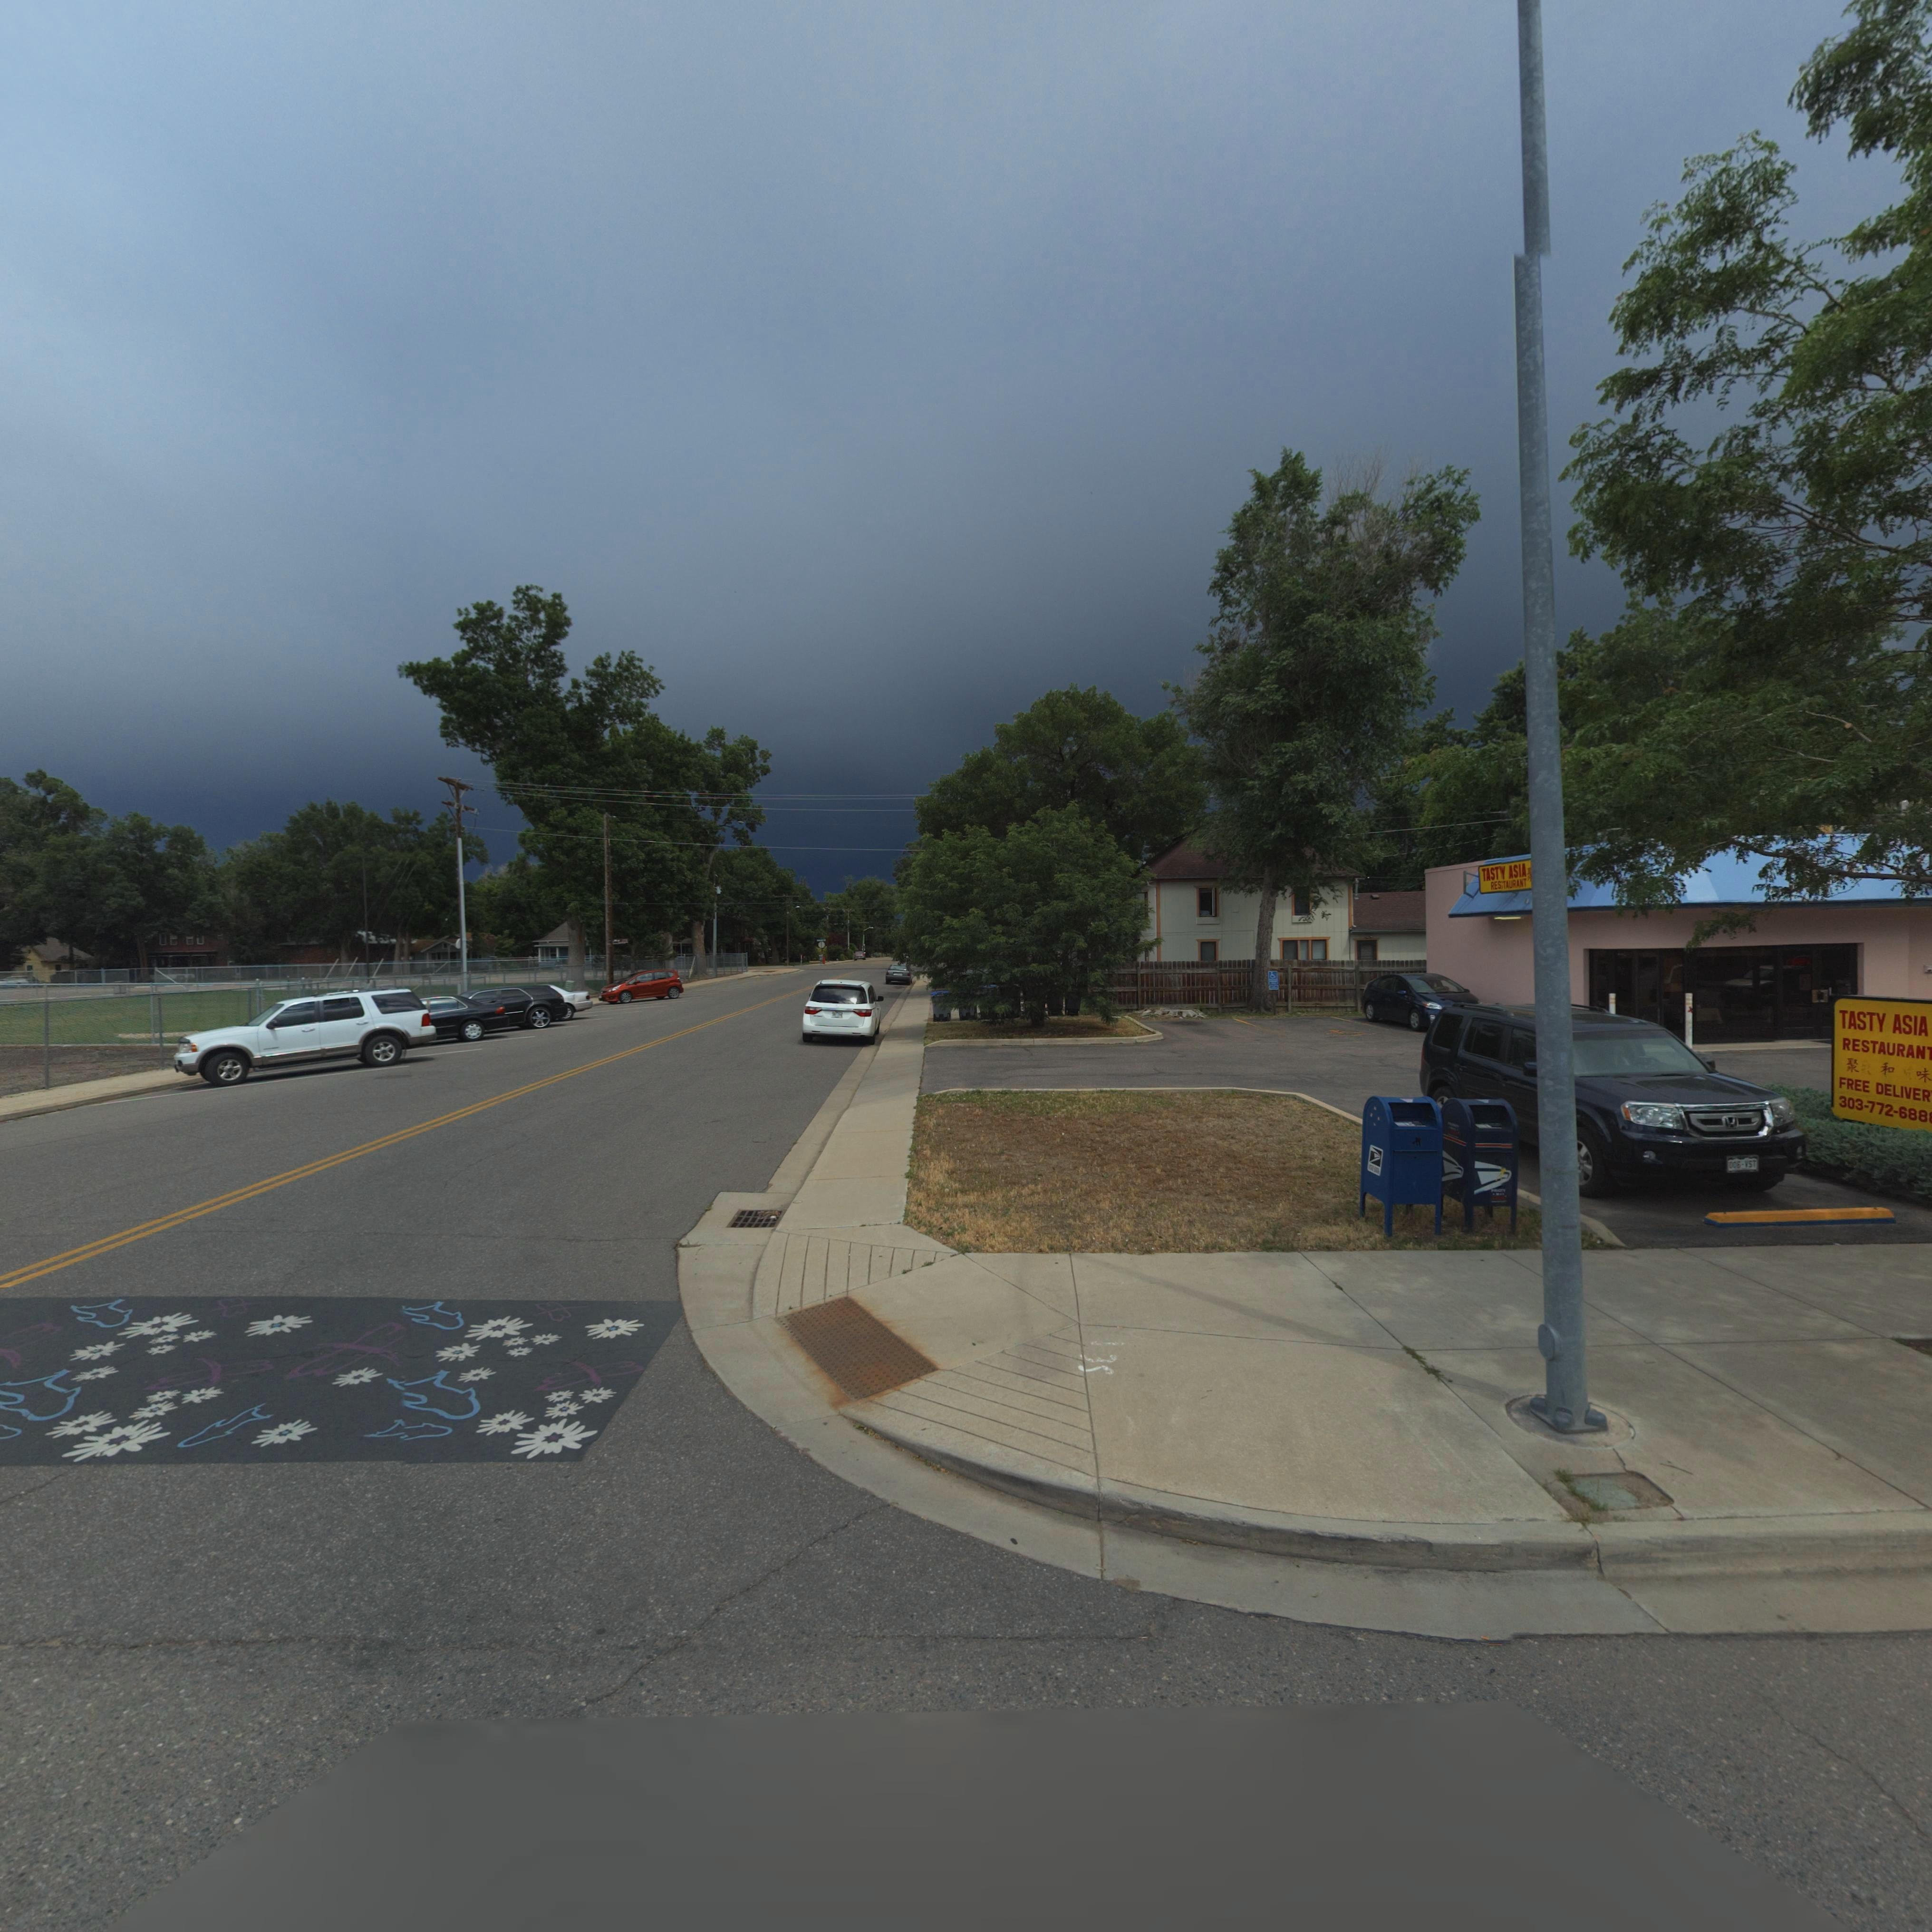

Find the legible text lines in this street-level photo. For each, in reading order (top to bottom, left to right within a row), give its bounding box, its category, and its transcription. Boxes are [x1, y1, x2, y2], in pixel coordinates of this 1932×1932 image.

[1481, 863, 1526, 881] BusinessName: TASTY ASIA
[1491, 878, 1526, 890] BusinessName: RESTURANT
[1838, 1010, 1928, 1036] BusinessName: TASTY ASIA
[1842, 1037, 1925, 1060] BusinessName: RESTAURAN